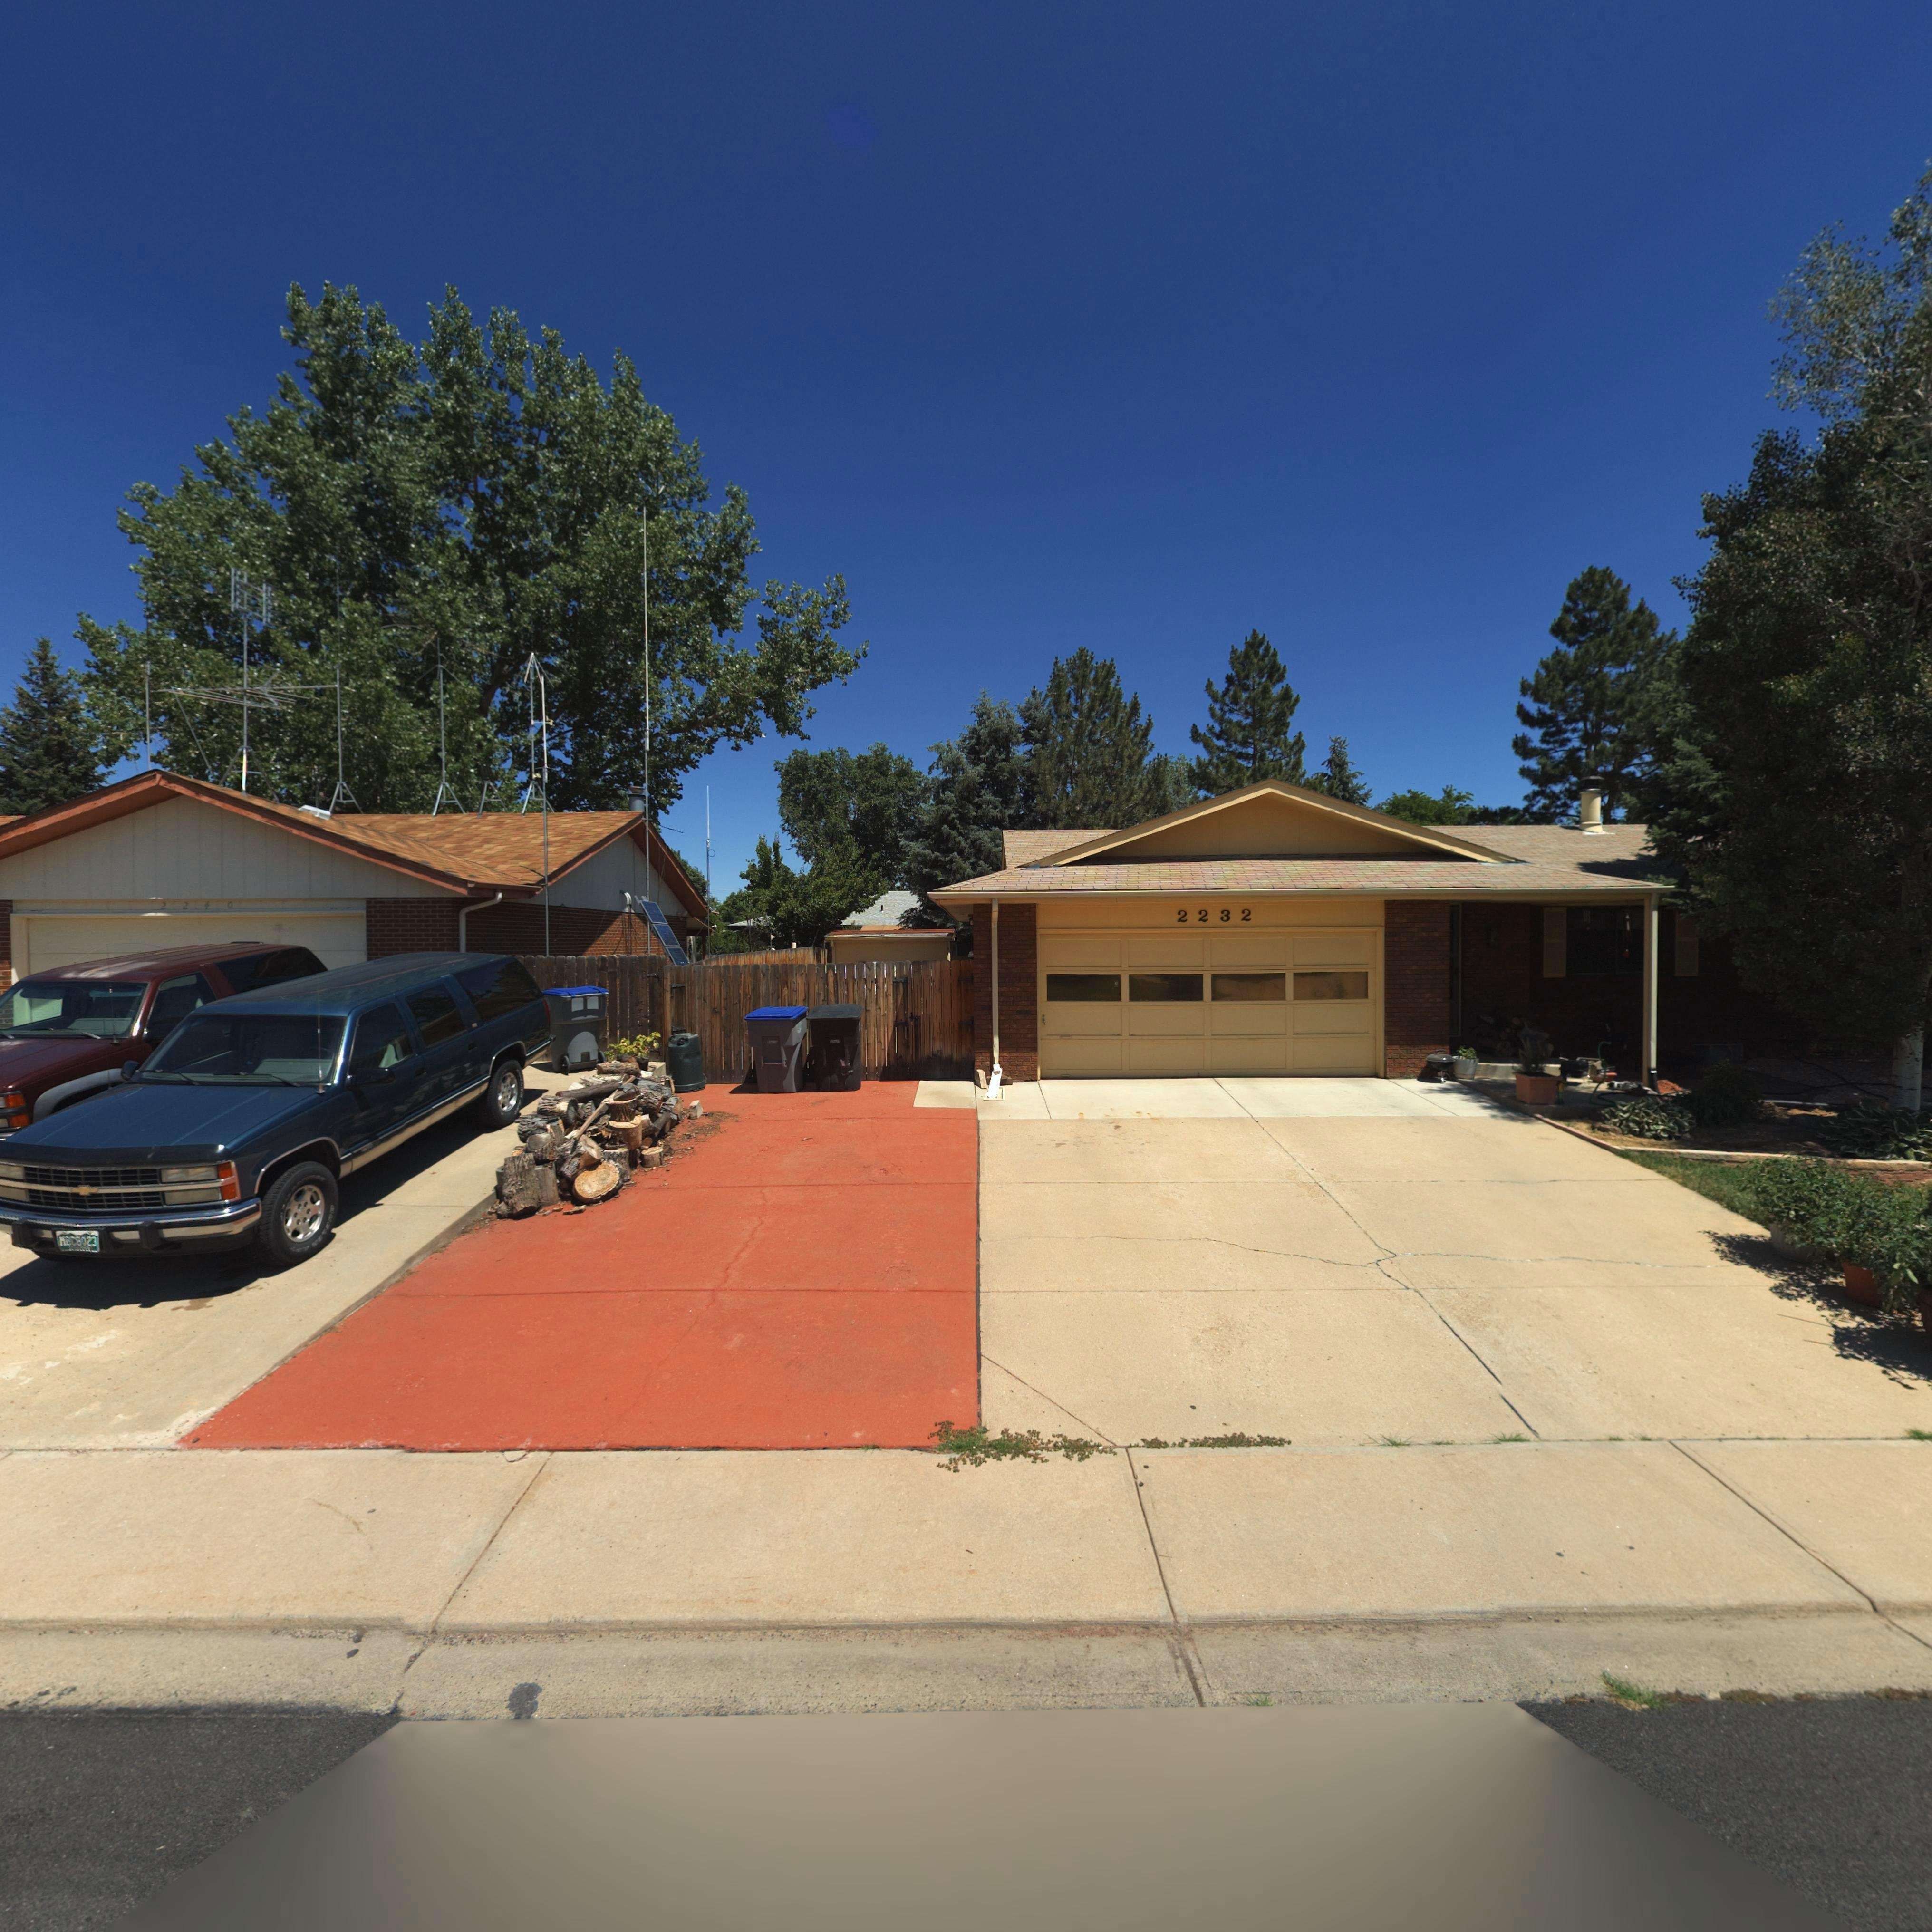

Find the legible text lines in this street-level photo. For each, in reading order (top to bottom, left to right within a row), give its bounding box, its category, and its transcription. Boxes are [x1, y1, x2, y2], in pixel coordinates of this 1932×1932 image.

[1175, 907, 1252, 923] StreetNumber: 2232